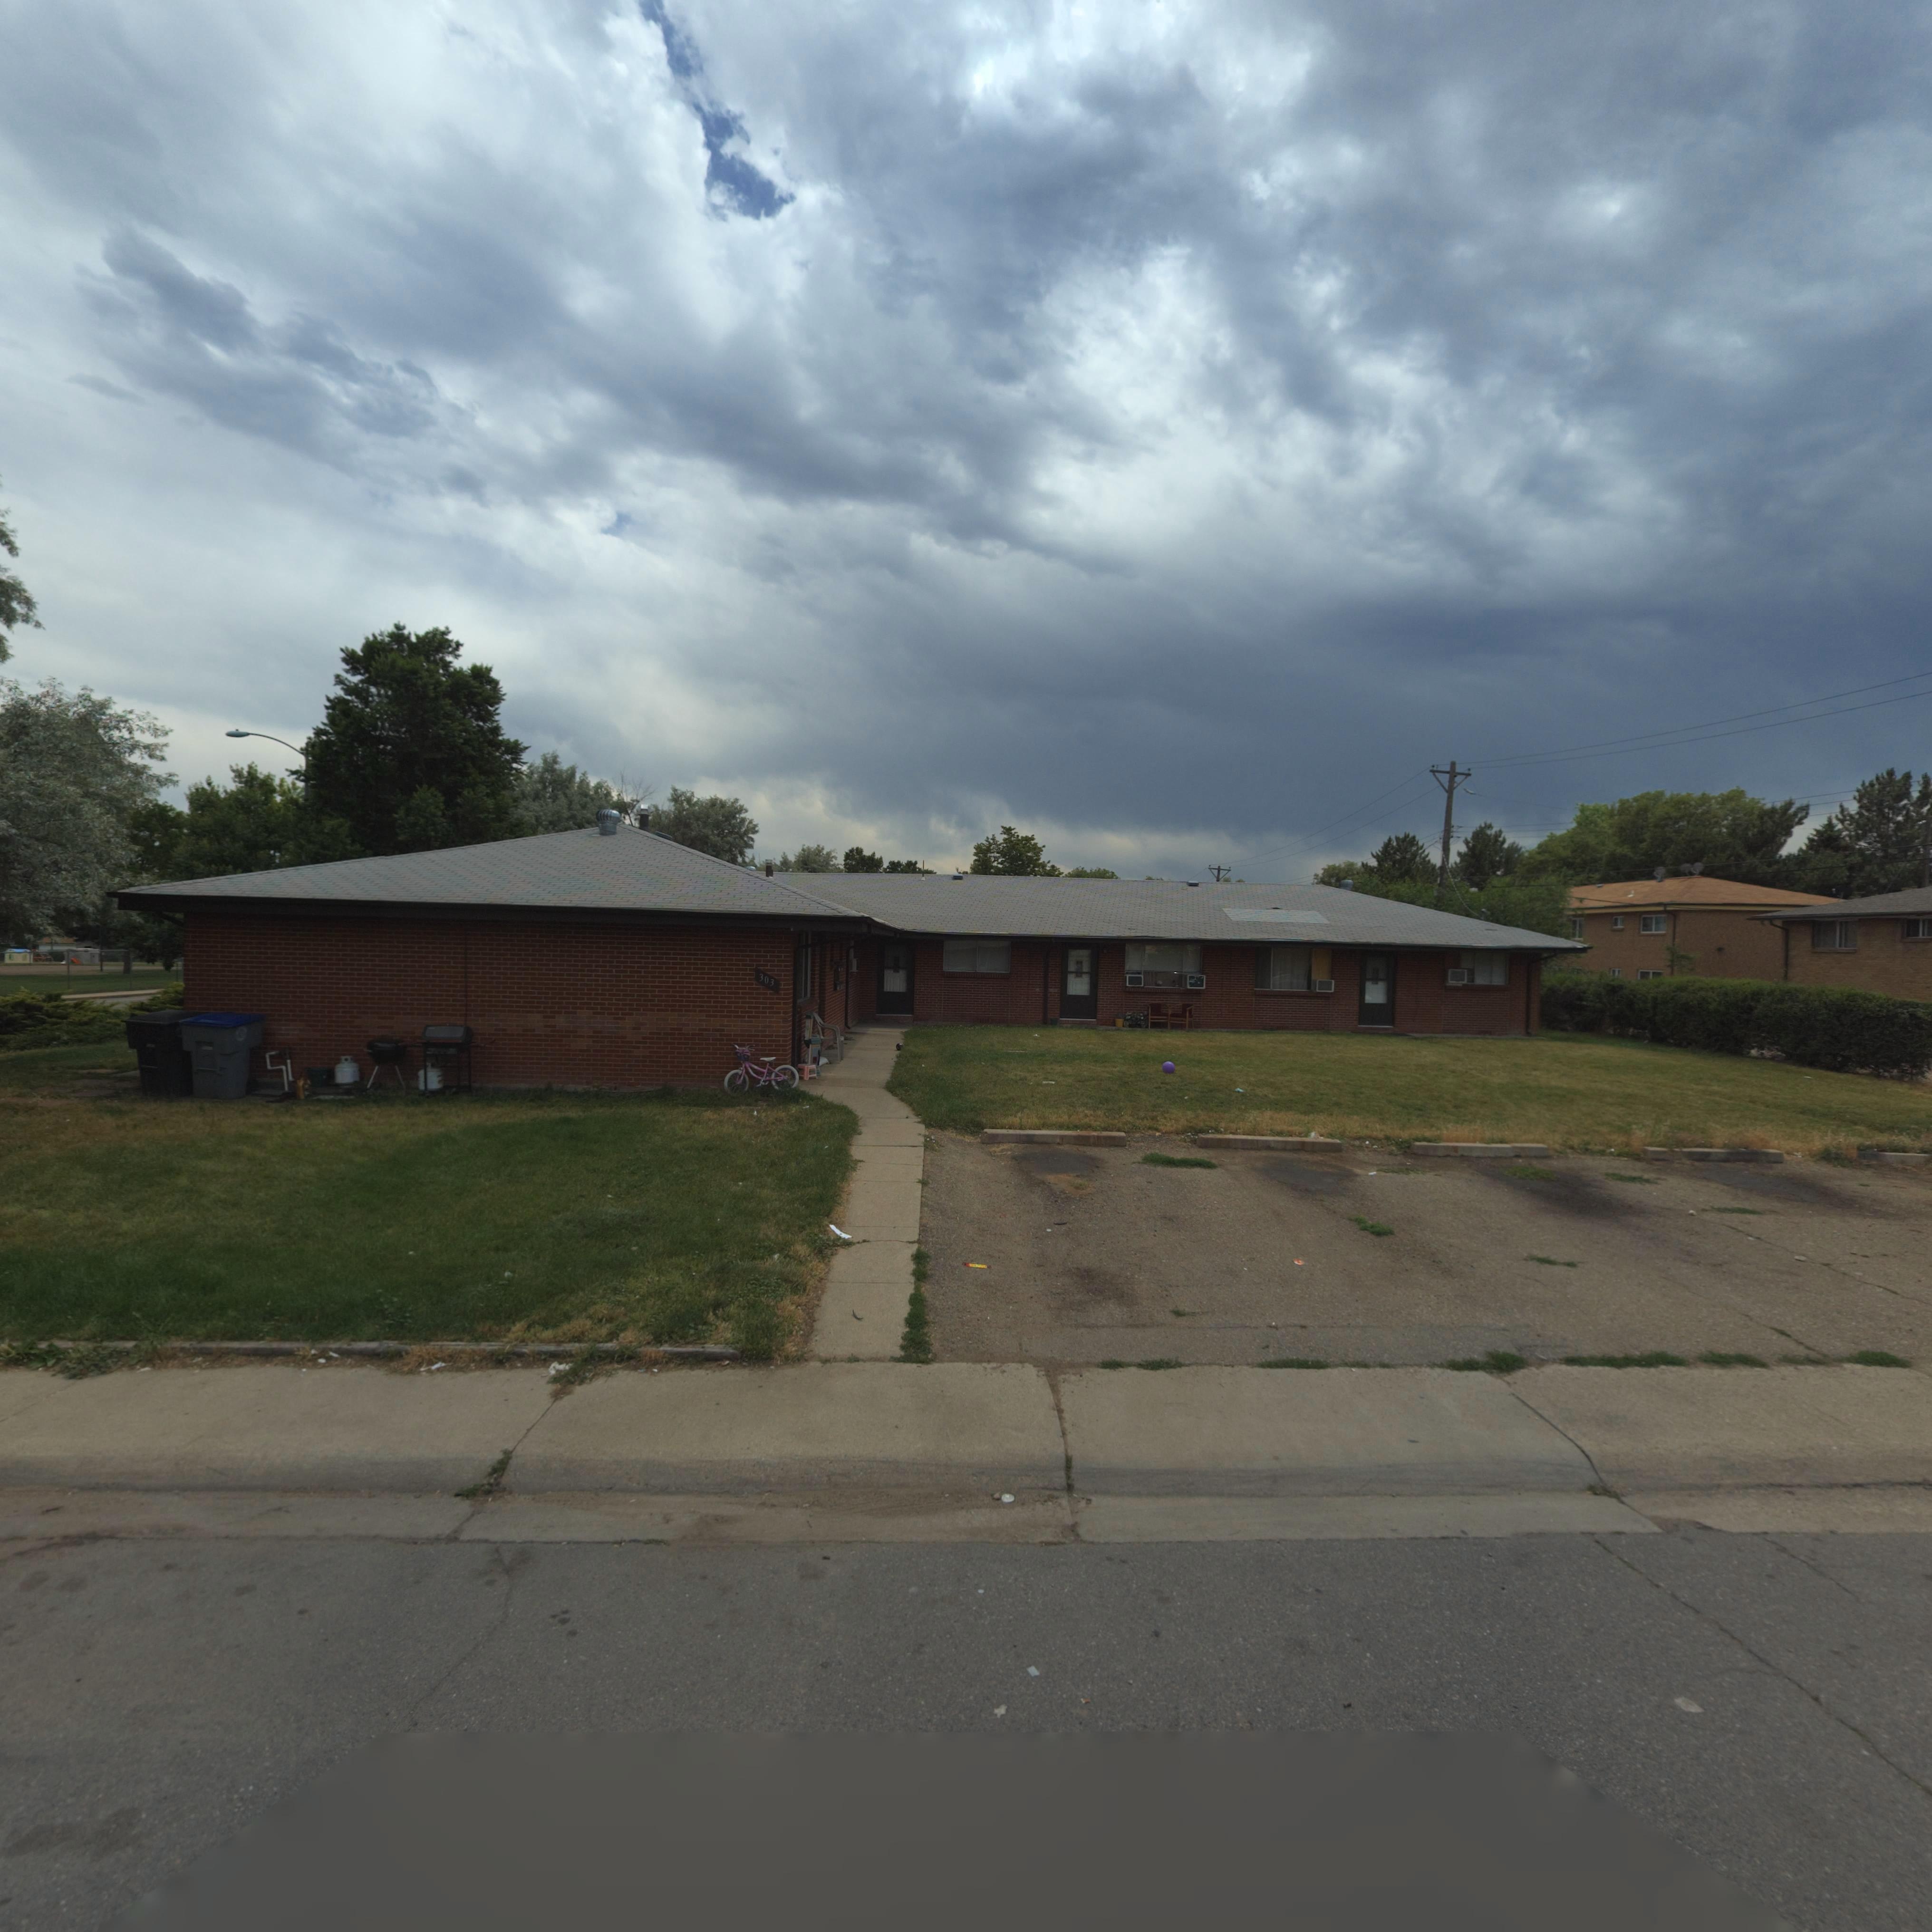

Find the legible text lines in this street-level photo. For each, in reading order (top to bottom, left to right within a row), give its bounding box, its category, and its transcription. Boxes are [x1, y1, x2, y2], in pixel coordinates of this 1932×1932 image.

[759, 973, 774, 986] StreetNumber: 303